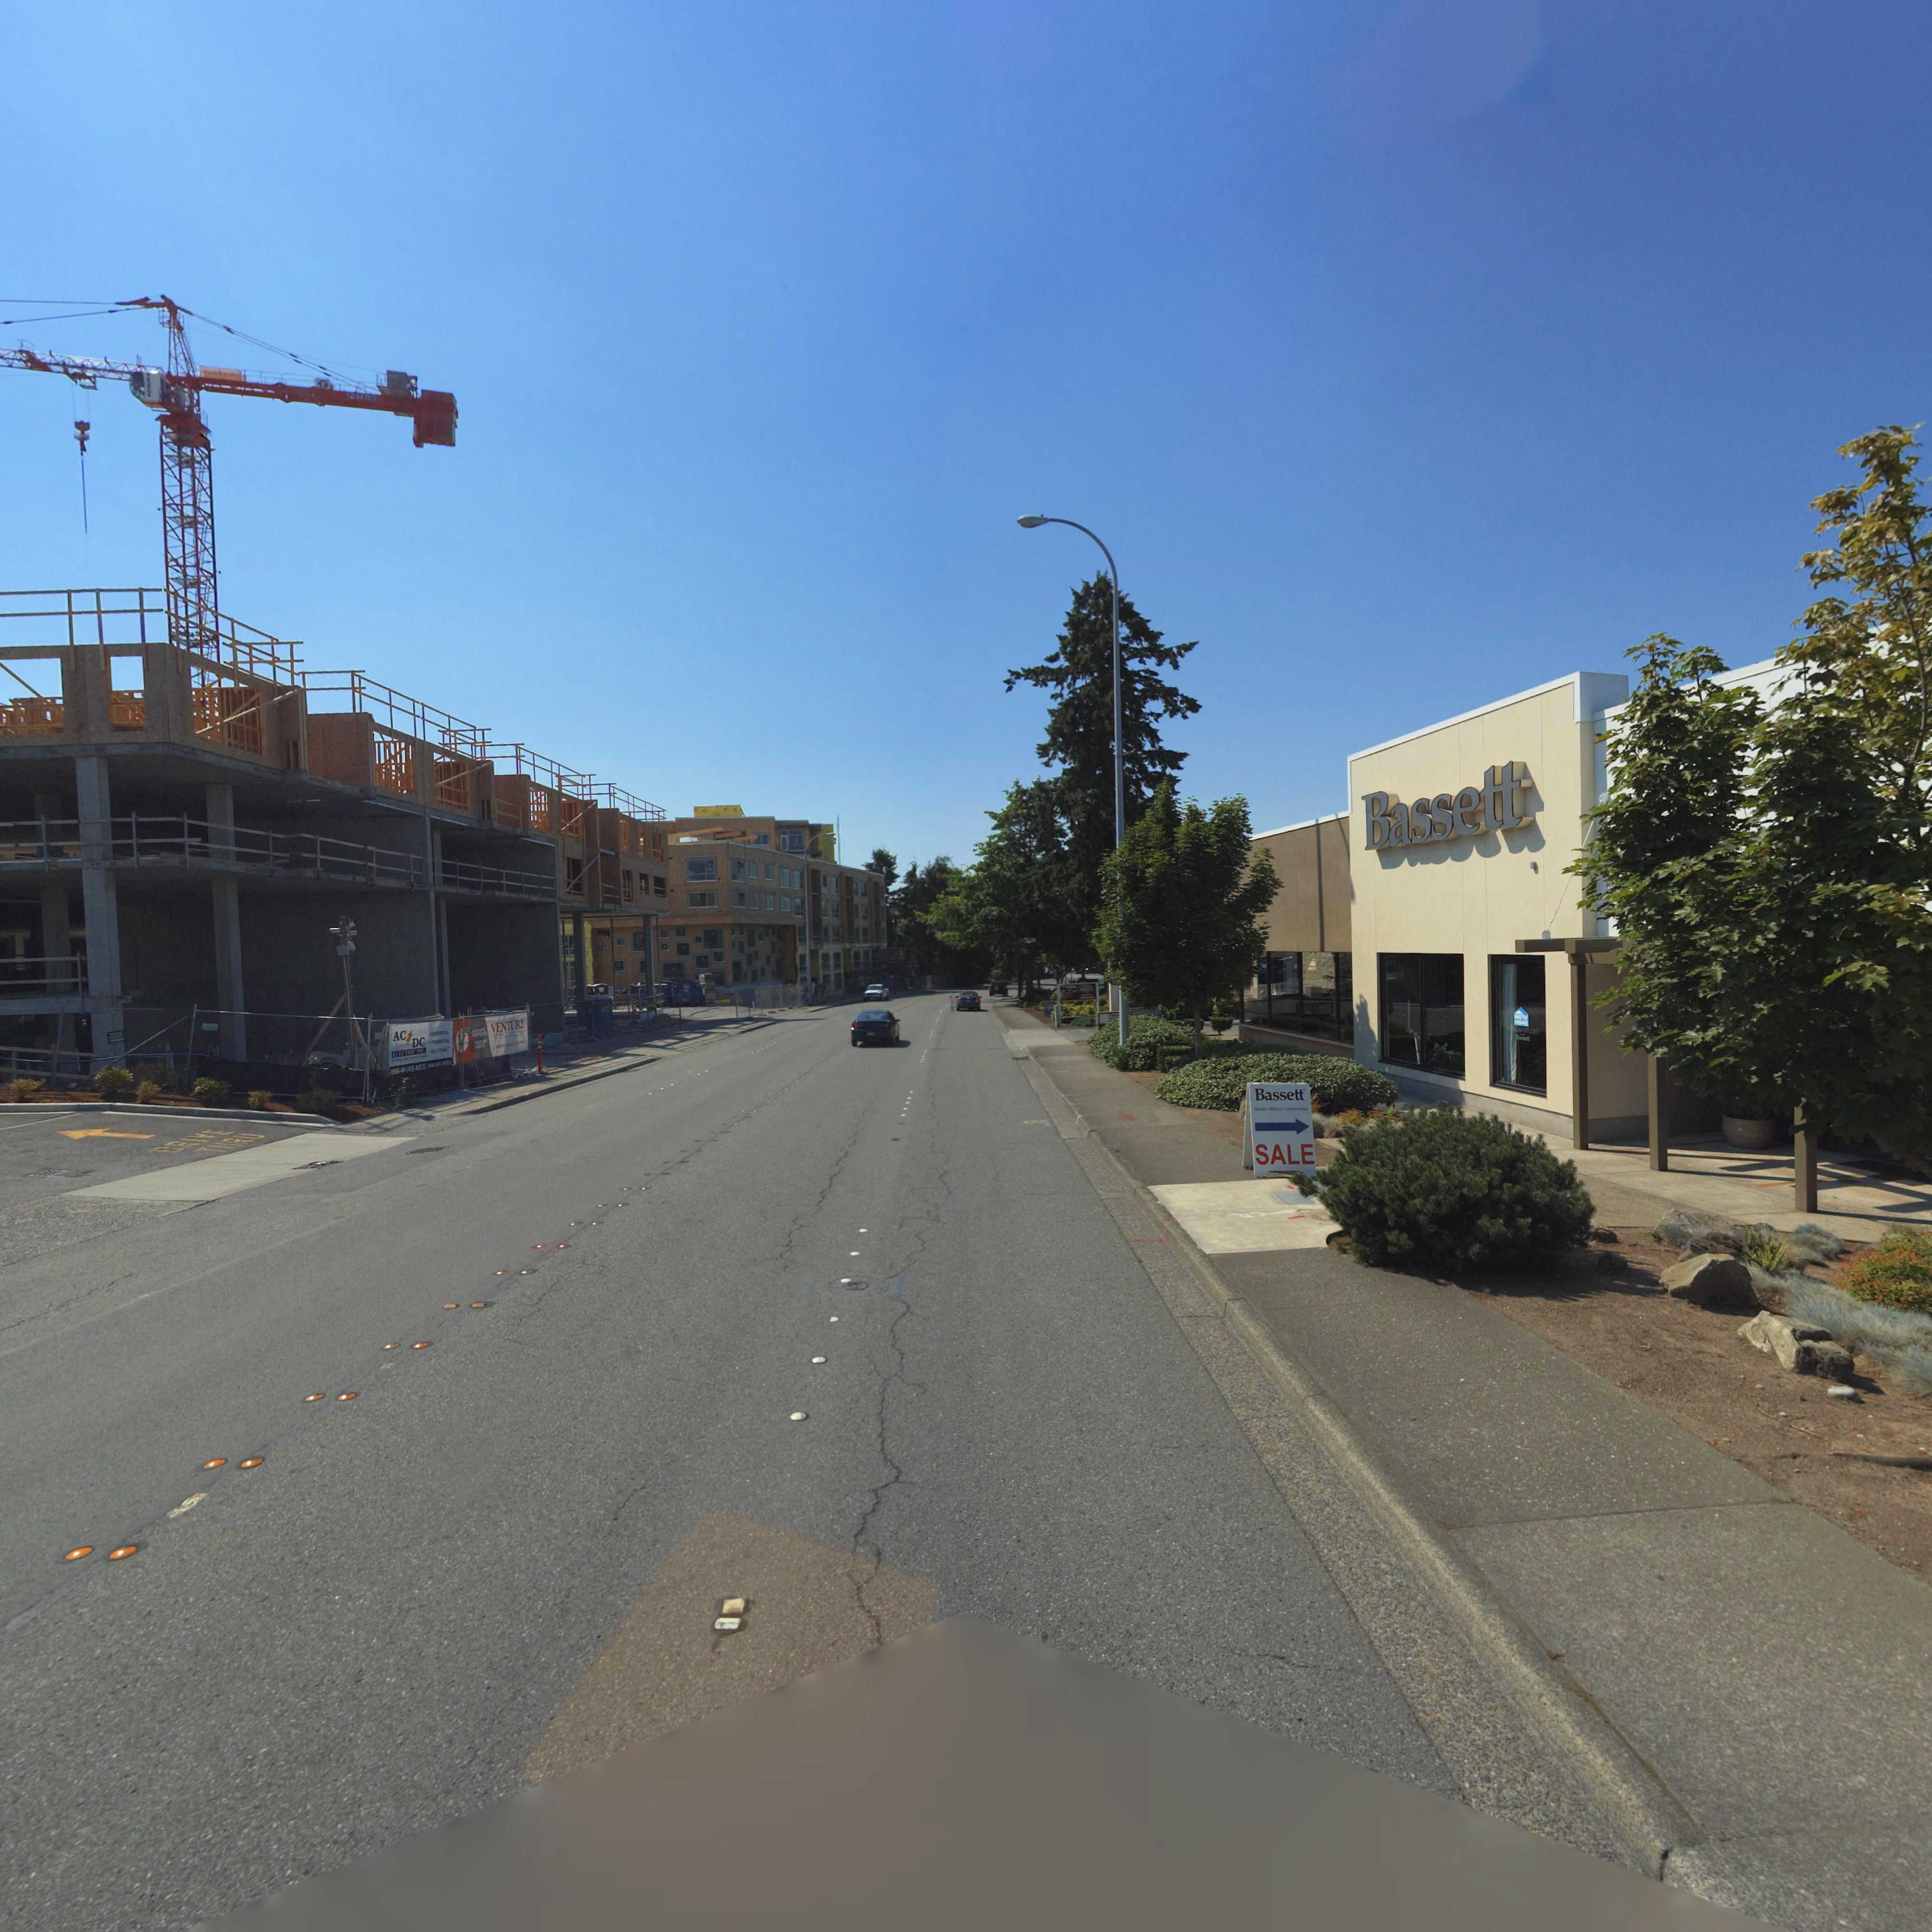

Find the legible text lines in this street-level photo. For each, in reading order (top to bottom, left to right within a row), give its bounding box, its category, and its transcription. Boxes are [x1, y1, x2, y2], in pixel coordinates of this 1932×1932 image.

[1359, 754, 1536, 855] BusinessName: Bassett
[391, 1030, 409, 1042] BusinessName: AC
[411, 1036, 429, 1048] BusinessName: DC
[392, 1046, 426, 1058] BusinessName: ELECTRIC INC.
[1254, 1088, 1304, 1101] BusinessName: Bassett